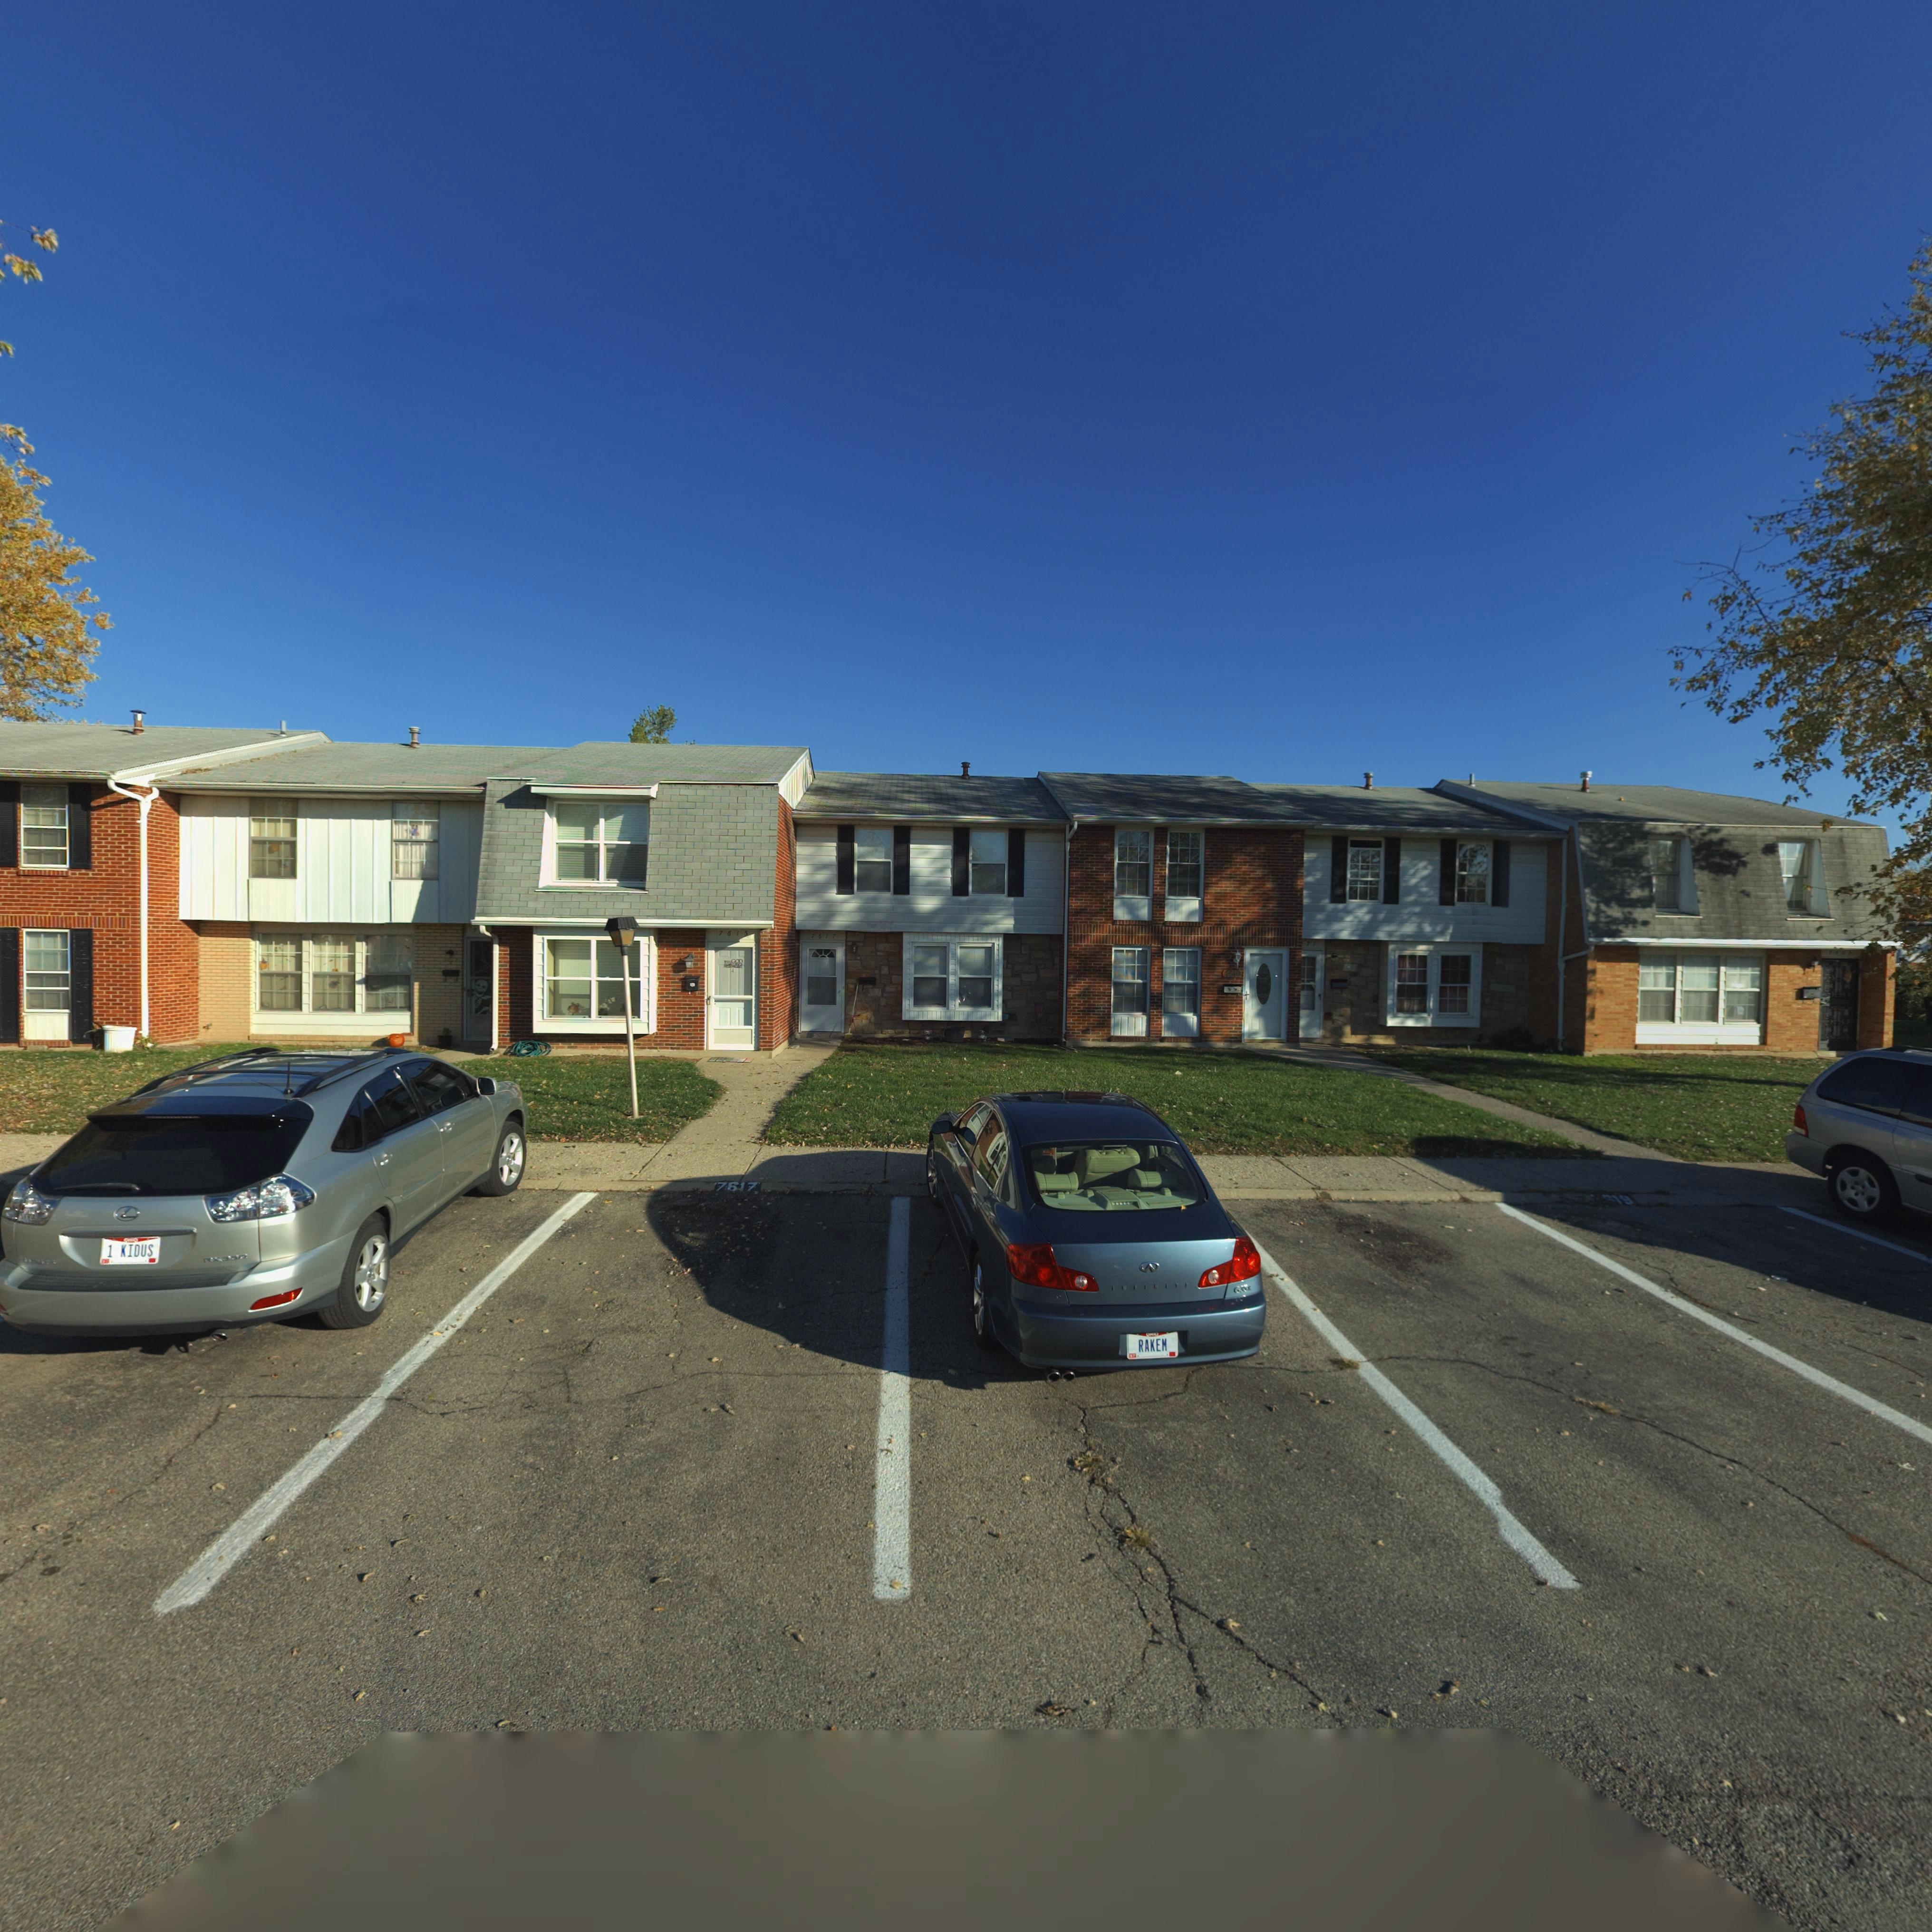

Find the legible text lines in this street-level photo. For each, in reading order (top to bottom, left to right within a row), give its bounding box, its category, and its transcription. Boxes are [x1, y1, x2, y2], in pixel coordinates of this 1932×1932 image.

[473, 927, 478, 933] StreetNumber: 7
[718, 930, 748, 937] StreetNumber: 7615
[811, 933, 837, 939] StreetNumber: 7617
[1305, 941, 1317, 947] StreetNumber: 21
[1827, 950, 1853, 956] StreetNumber: 7*25
[1224, 970, 1241, 977] StreetNumber: 7619
[716, 1181, 759, 1192] StreetNumber: 7617
[1611, 1194, 1635, 1206] StreetNumber: 19